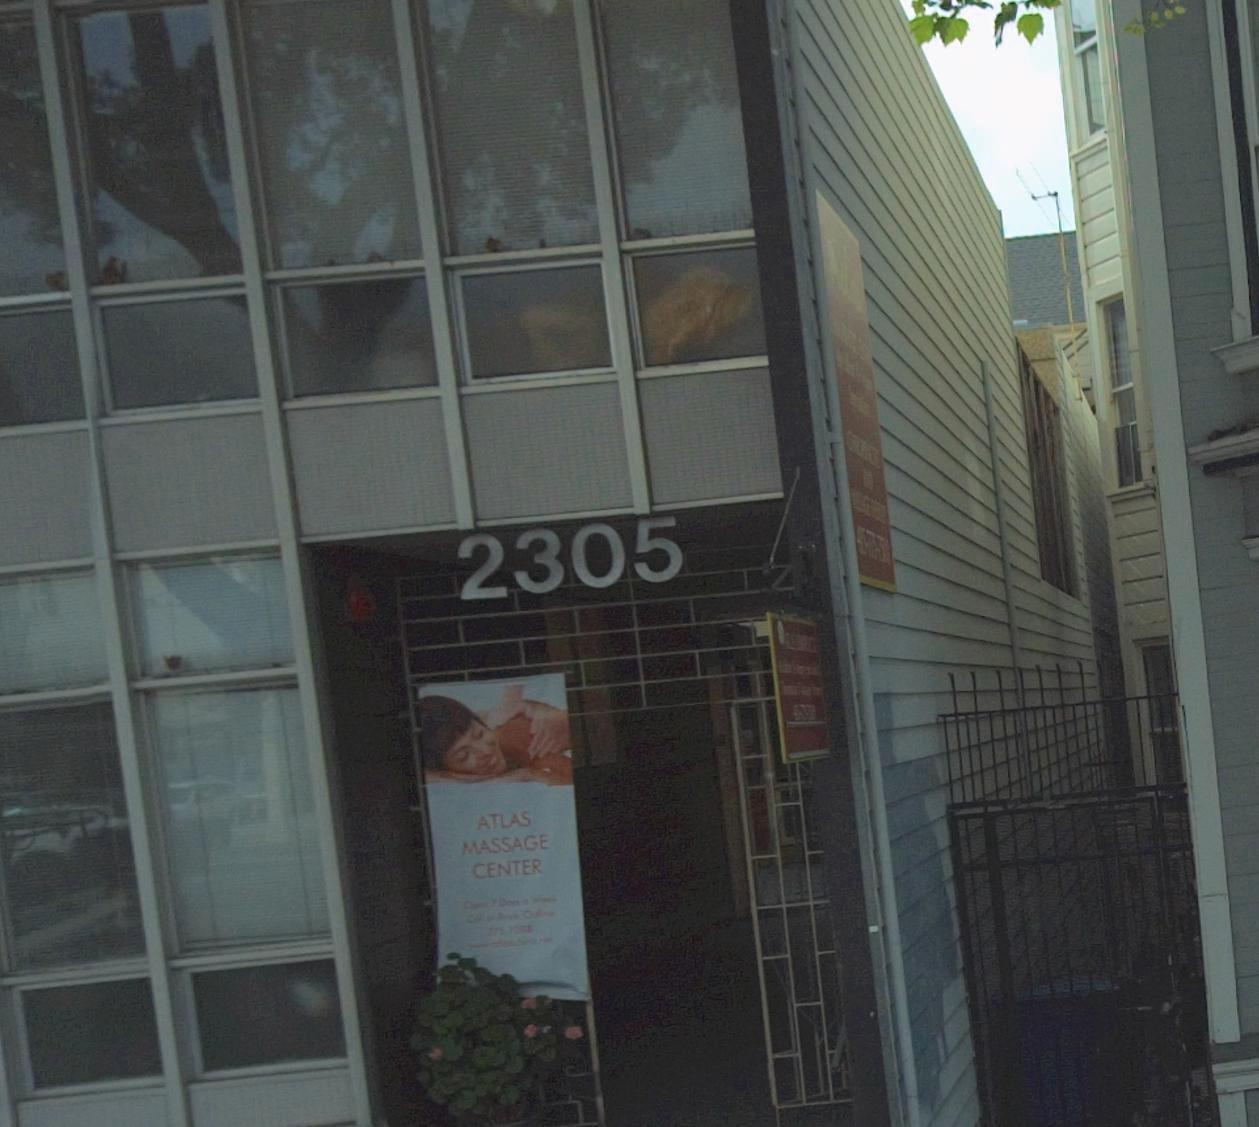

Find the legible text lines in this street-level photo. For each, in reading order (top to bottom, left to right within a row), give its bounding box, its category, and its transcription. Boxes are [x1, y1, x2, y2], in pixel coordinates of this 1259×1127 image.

[453, 511, 688, 604] StreetNumber: 2305
[473, 807, 535, 833] BusinessName: ATLAS
[458, 830, 553, 860] BusinessName: MASSAGE
[470, 855, 546, 882] BusinessName: CENTER